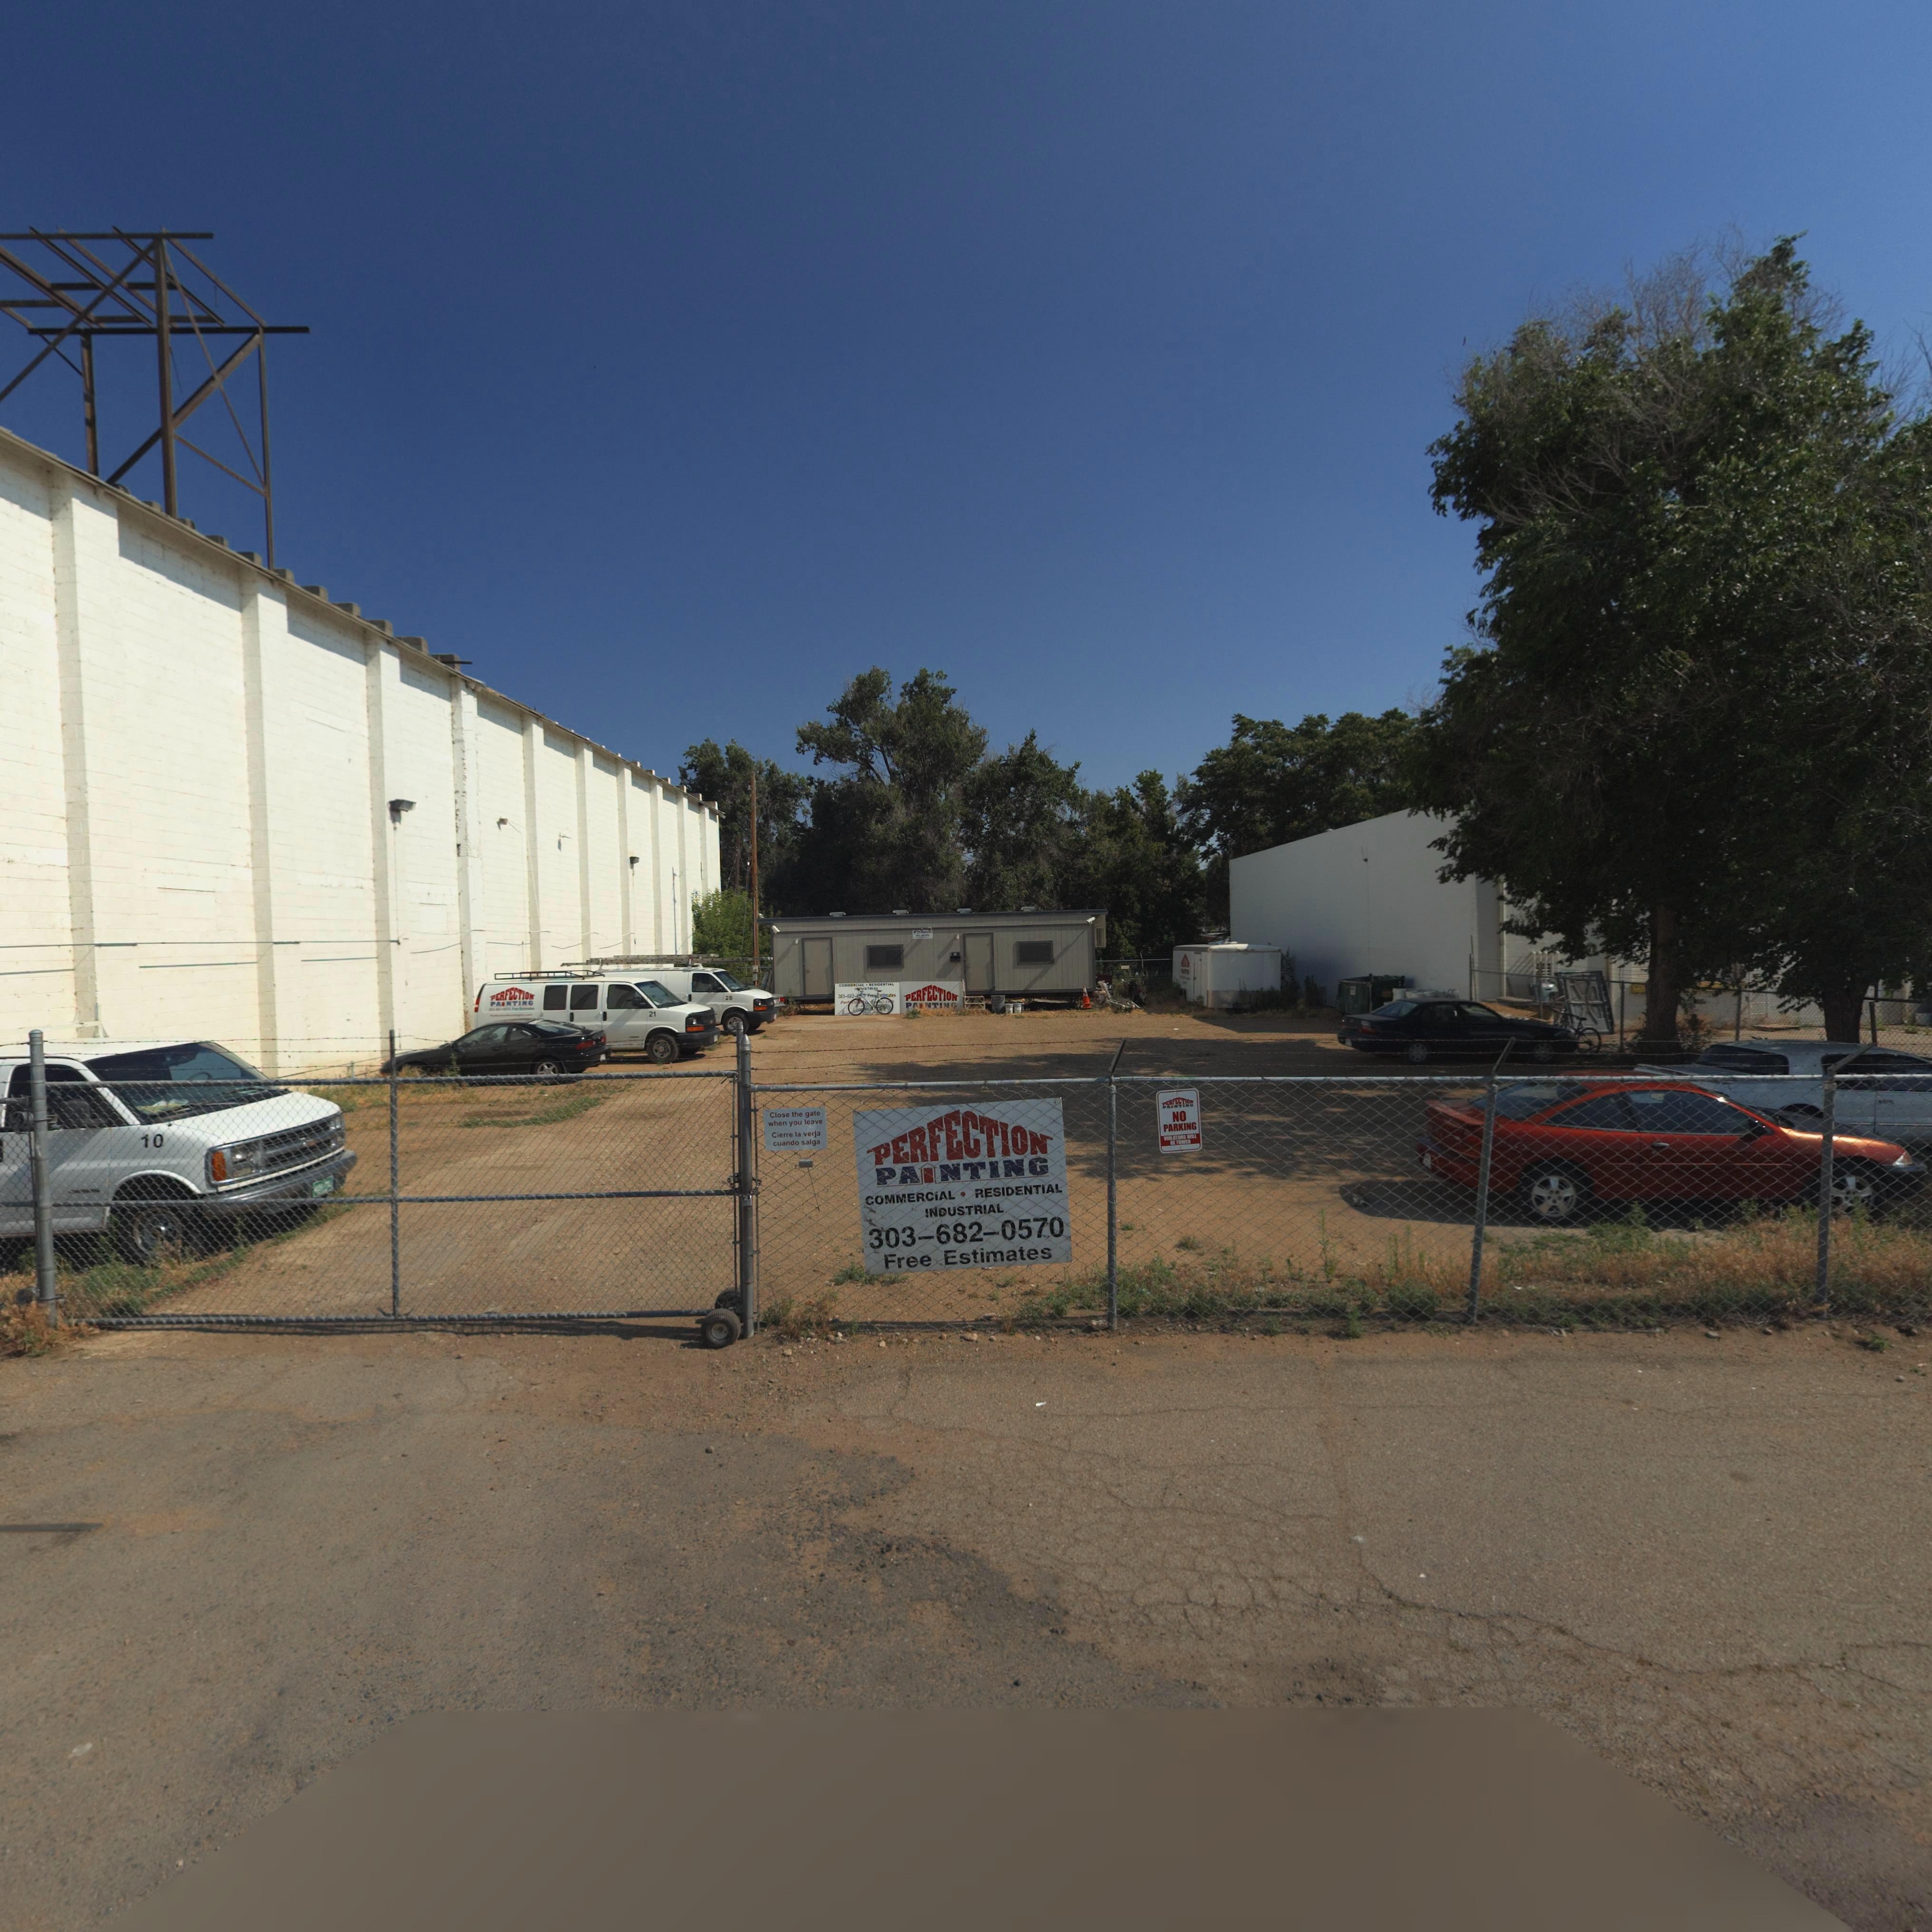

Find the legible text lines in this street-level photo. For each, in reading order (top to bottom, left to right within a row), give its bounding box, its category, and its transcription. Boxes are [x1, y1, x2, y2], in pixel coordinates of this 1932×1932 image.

[904, 984, 957, 1001] BusinessName: PERFECTION
[905, 1002, 957, 1009] BusinessName: P***TI**
[872, 1107, 1049, 1167] BusinessName: PERFECTION
[874, 1155, 1050, 1187] BusinessName: PAINTING